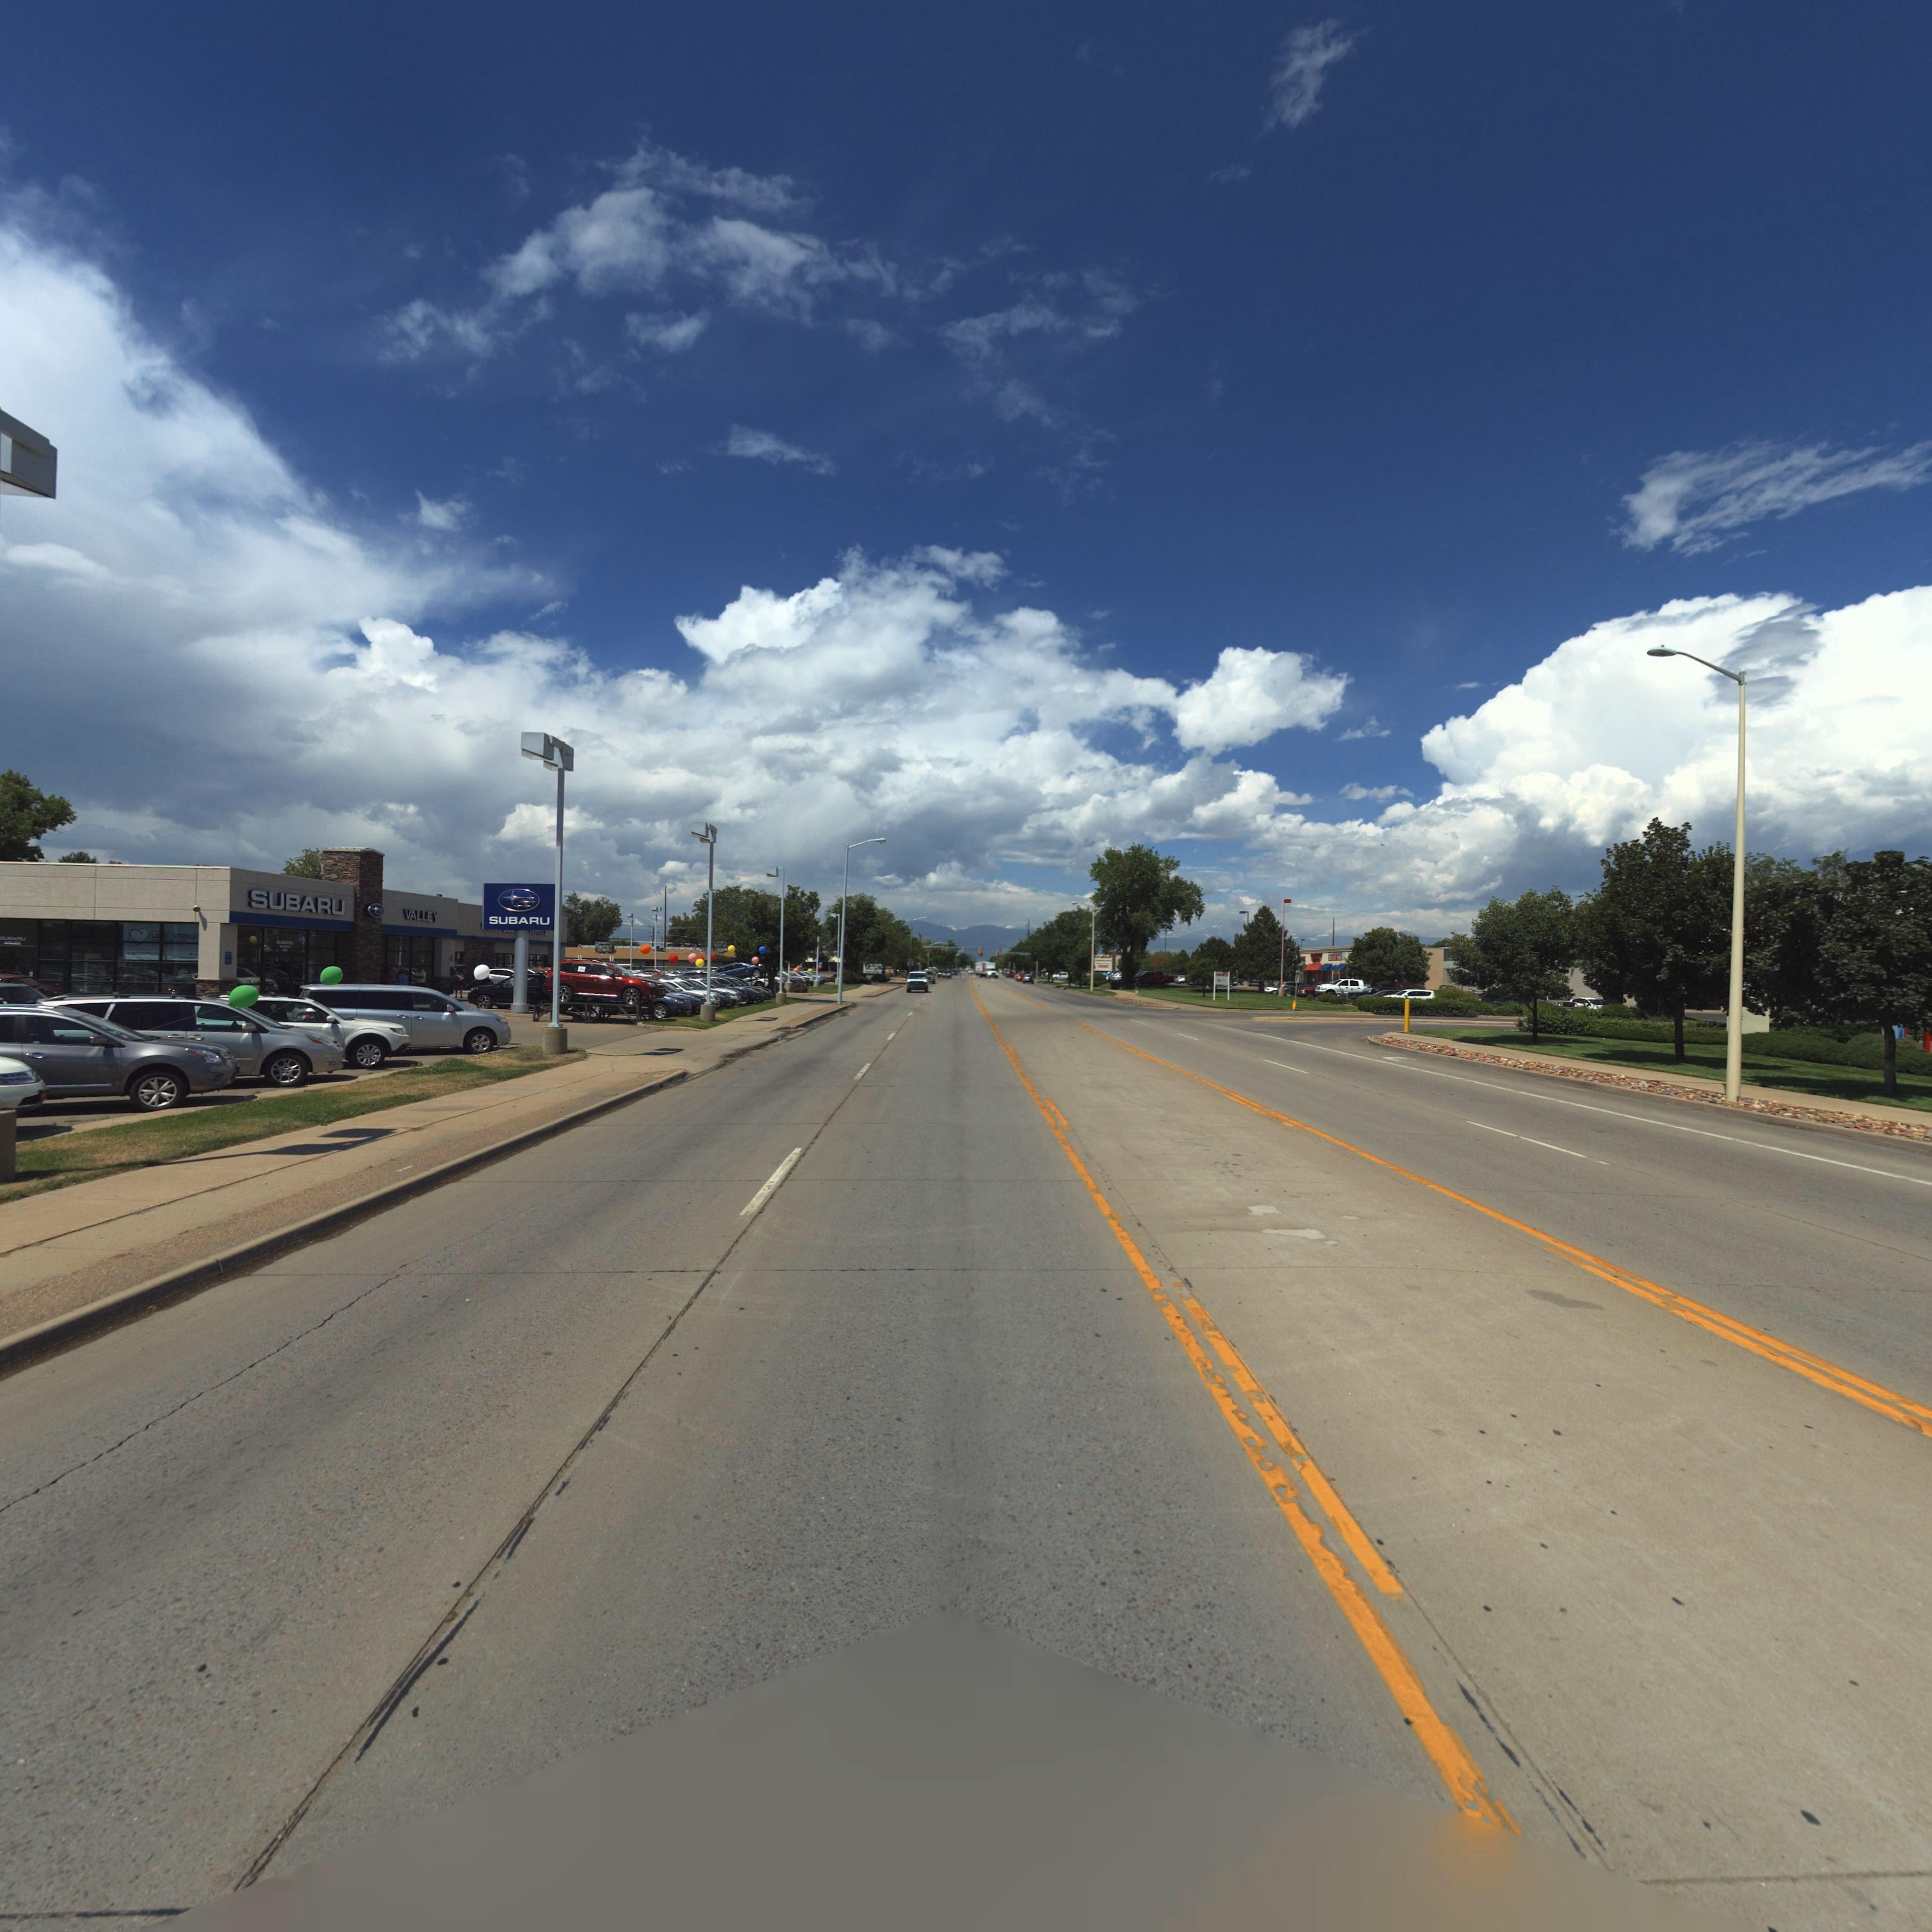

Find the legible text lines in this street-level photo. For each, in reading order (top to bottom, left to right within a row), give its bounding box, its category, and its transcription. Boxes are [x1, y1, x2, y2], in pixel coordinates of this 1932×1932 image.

[250, 889, 346, 916] BusinessName: SUBARU
[404, 908, 439, 922] BusinessName: VALLEY
[489, 916, 550, 925] BusinessName: SUBARU
[529, 929, 548, 936] BusinessName: ***VICE
[0, 936, 27, 941] BusinessName: SUBA*U
[276, 940, 294, 945] BusinessName: SUB**U
[864, 964, 870, 970] BusinessName: V
[1098, 965, 1110, 968] BusinessName: GNC